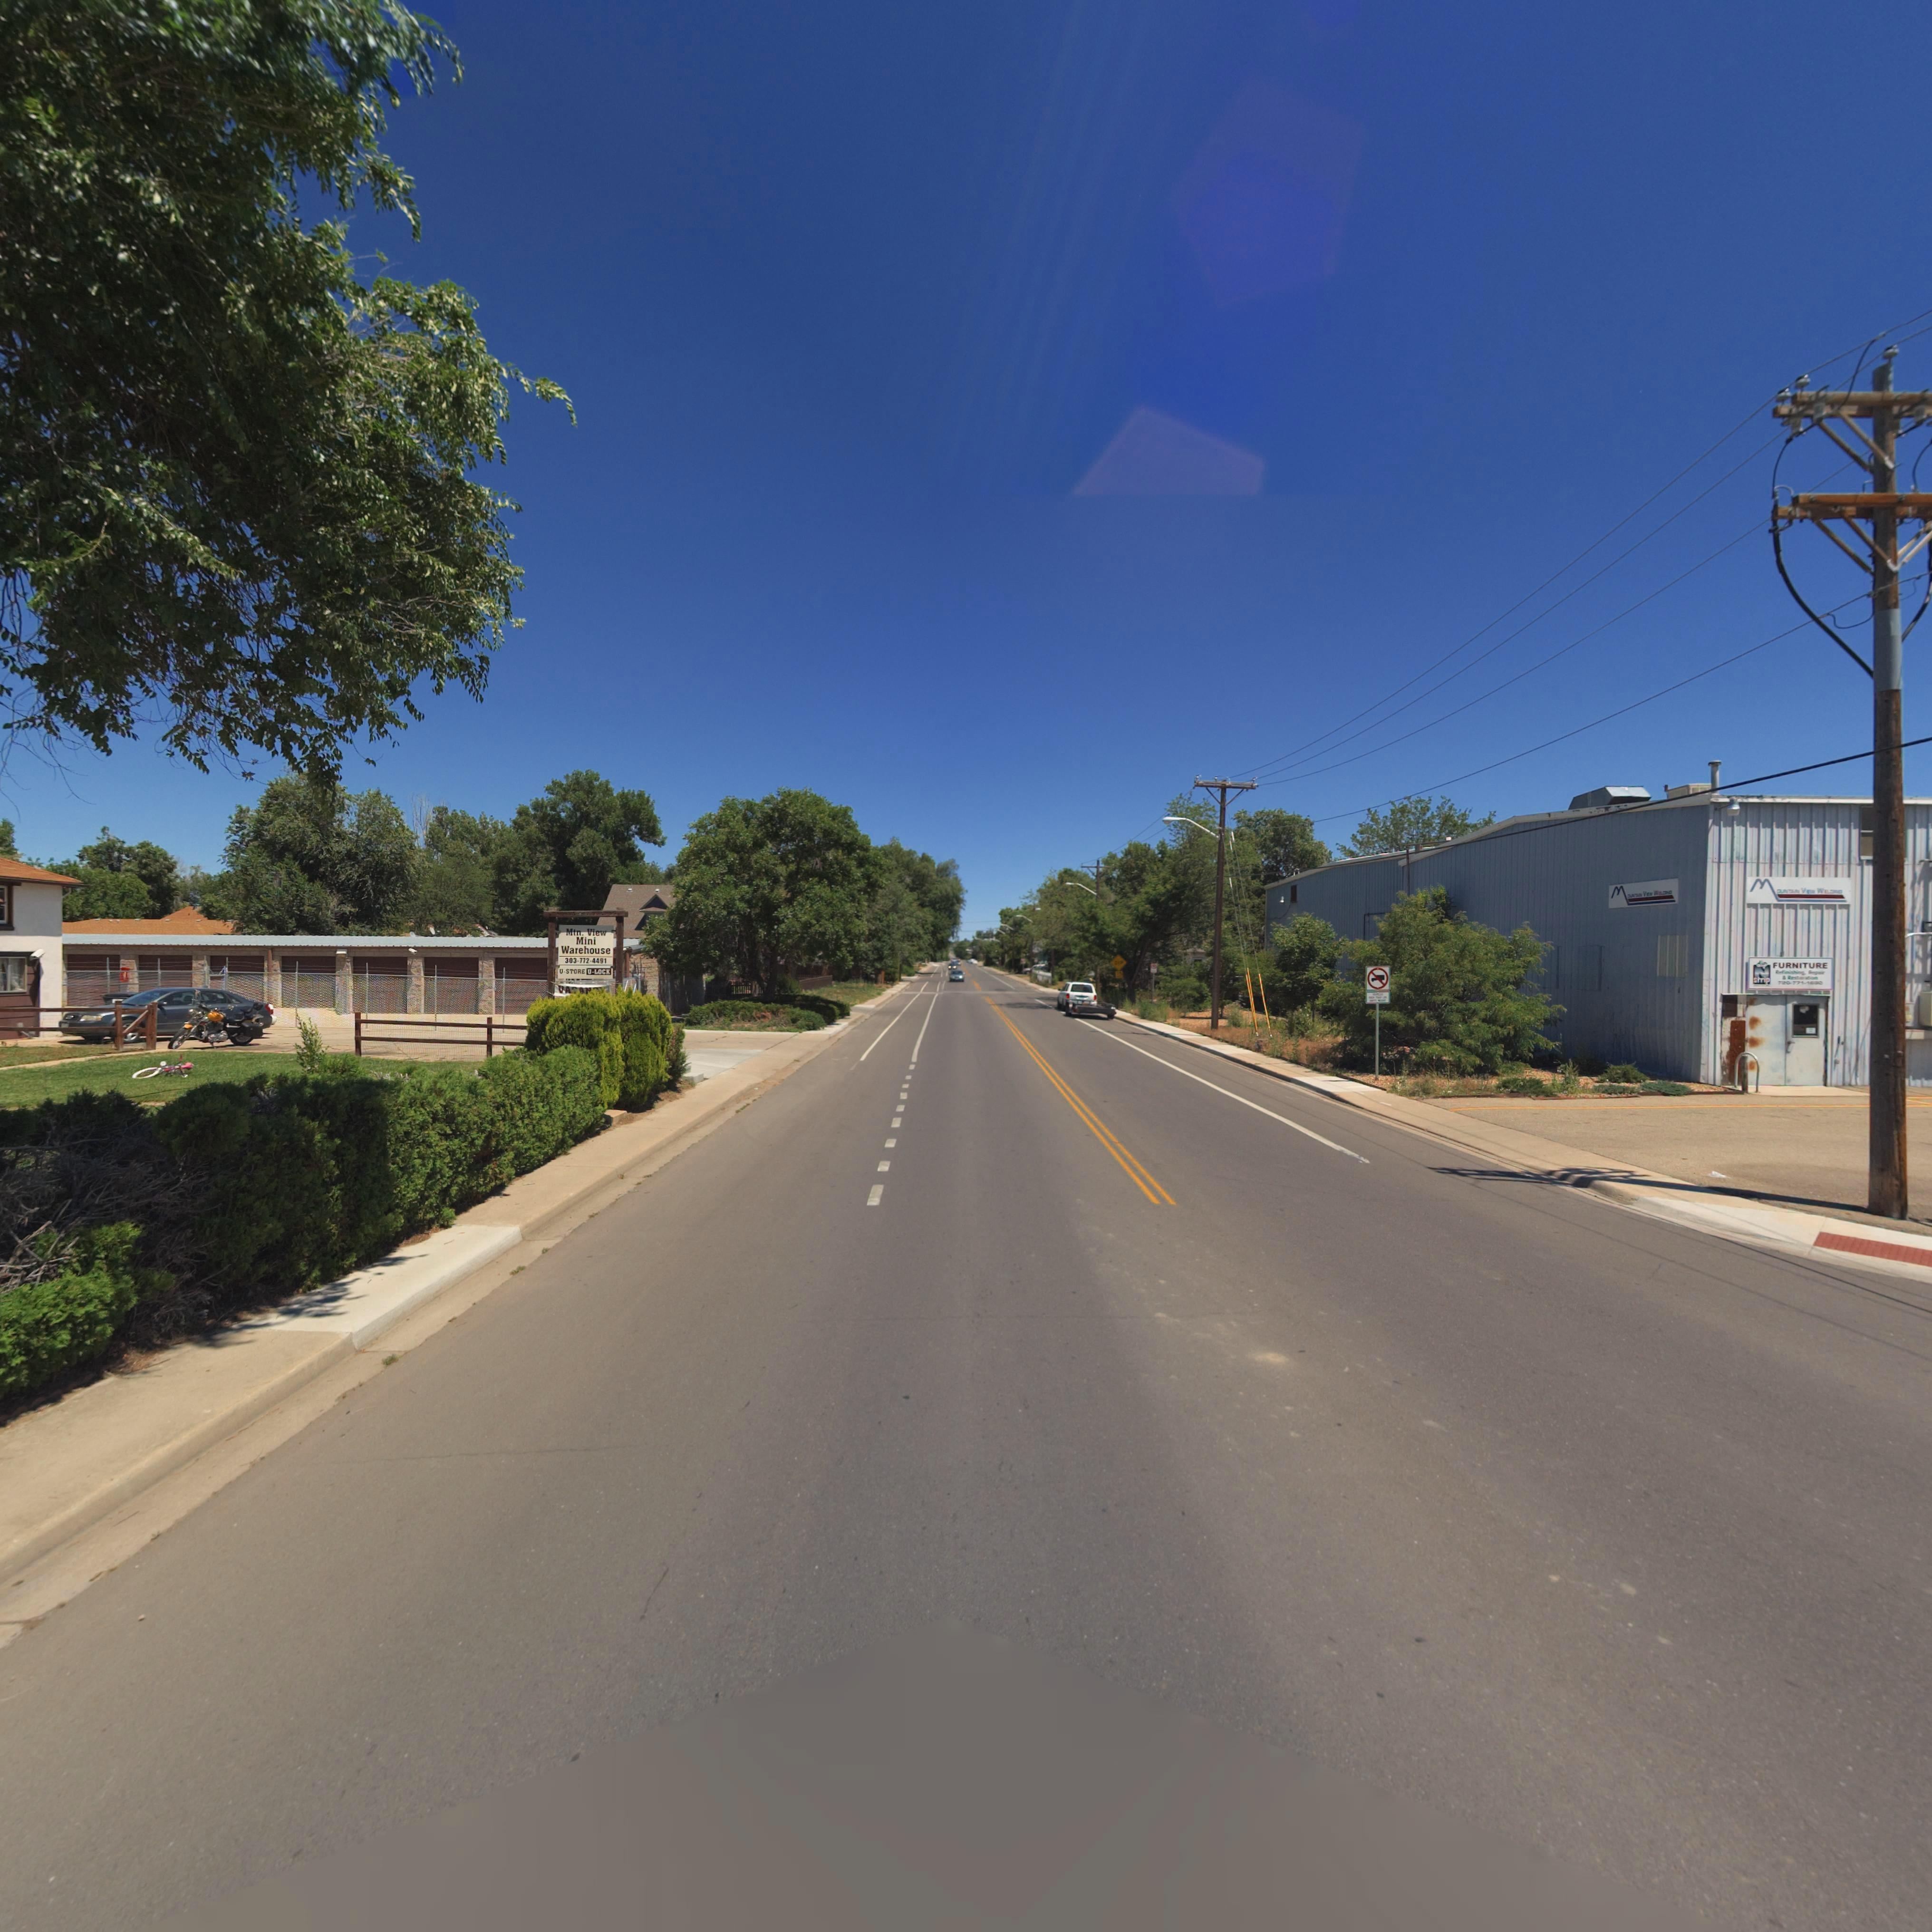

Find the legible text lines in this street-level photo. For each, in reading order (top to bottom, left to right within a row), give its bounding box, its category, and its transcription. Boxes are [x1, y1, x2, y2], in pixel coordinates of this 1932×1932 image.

[1749, 878, 1776, 893] BusinessName: M
[1611, 885, 1627, 898] BusinessName: M
[1627, 889, 1672, 898] BusinessName: OUNTAIN VIEW WELDING
[1776, 887, 1843, 894] BusinessName: OUNTAIN VIEW WELDING
[577, 911, 589, 916] StreetNumber: 440
[565, 928, 607, 936] BusinessName: Mtn. View
[576, 937, 596, 945] BusinessName: Mini
[560, 945, 610, 954] BusinessName: Warehouse